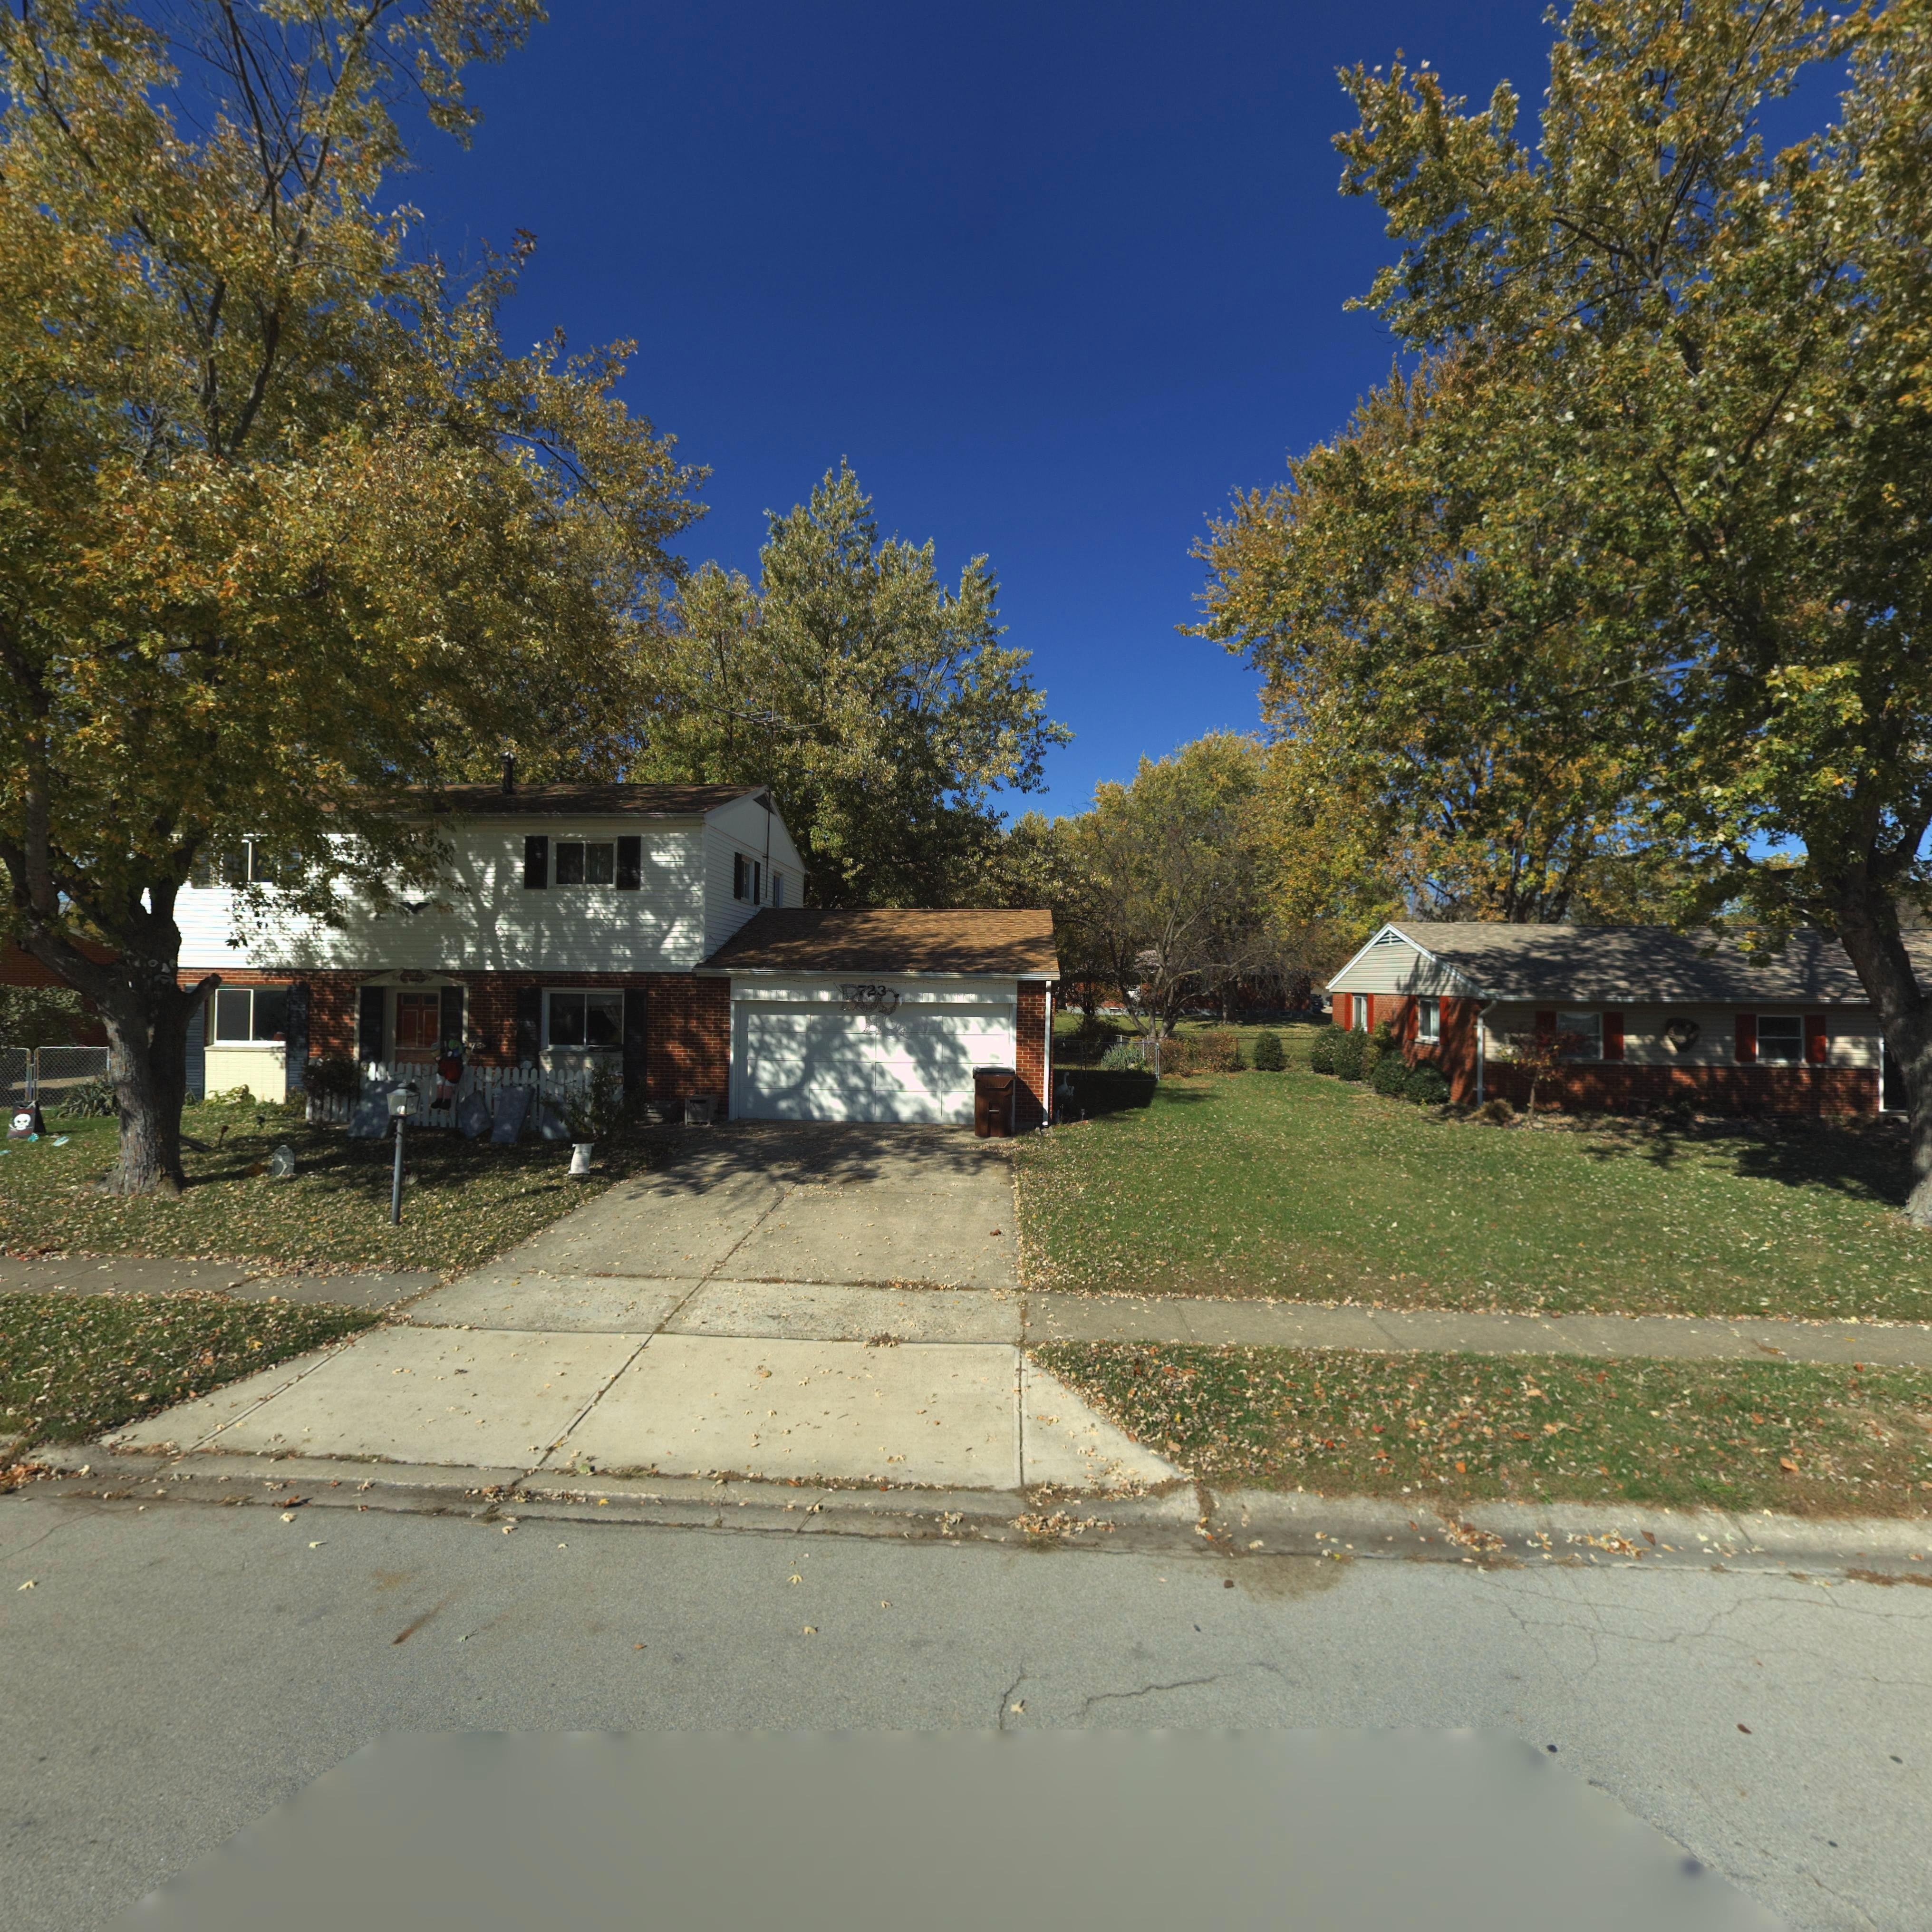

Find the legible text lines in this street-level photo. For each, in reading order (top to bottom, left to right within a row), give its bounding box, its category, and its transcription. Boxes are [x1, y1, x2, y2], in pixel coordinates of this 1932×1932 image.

[857, 984, 887, 996] StreetNumber: *23